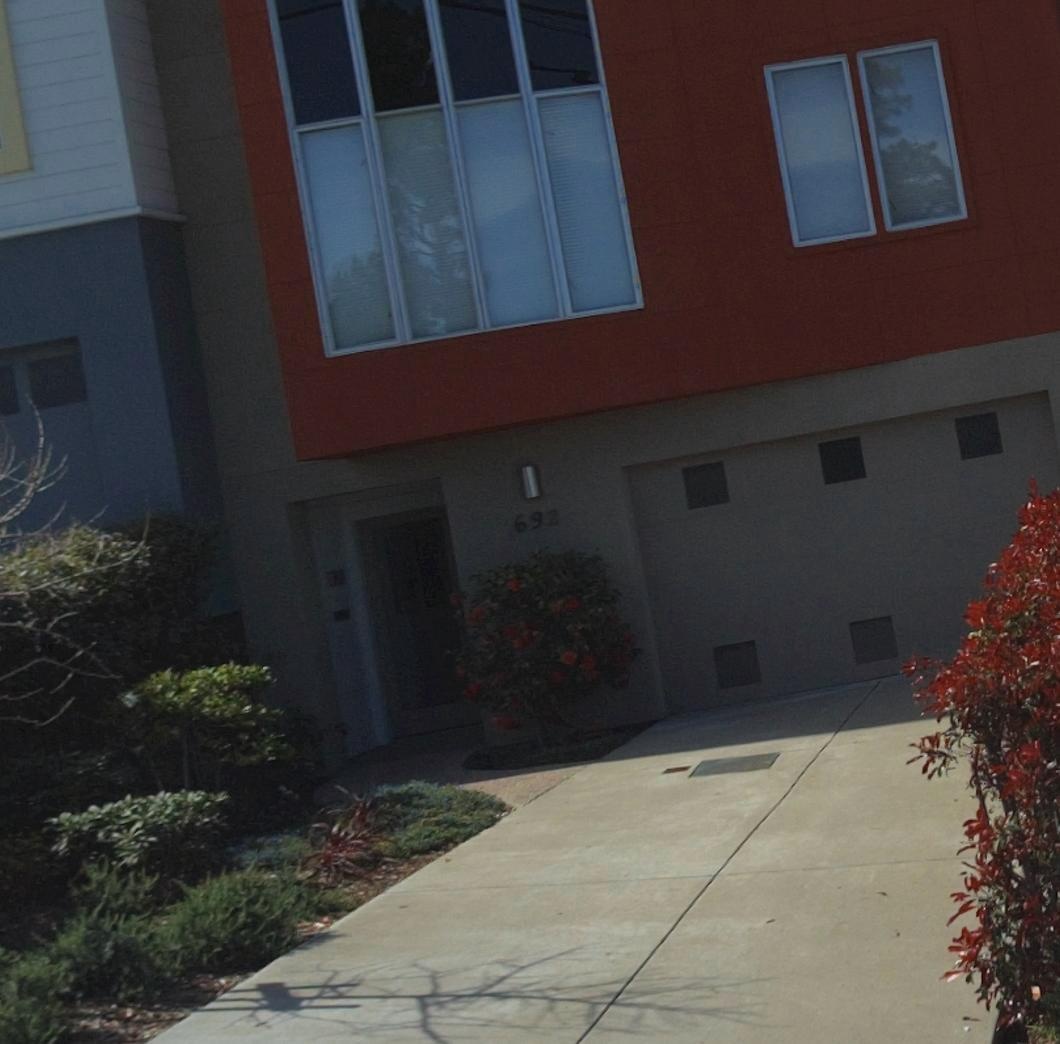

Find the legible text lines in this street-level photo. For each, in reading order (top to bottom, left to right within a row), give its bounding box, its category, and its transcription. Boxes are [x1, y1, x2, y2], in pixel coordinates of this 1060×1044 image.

[513, 509, 560, 535] StreetNumber: 692